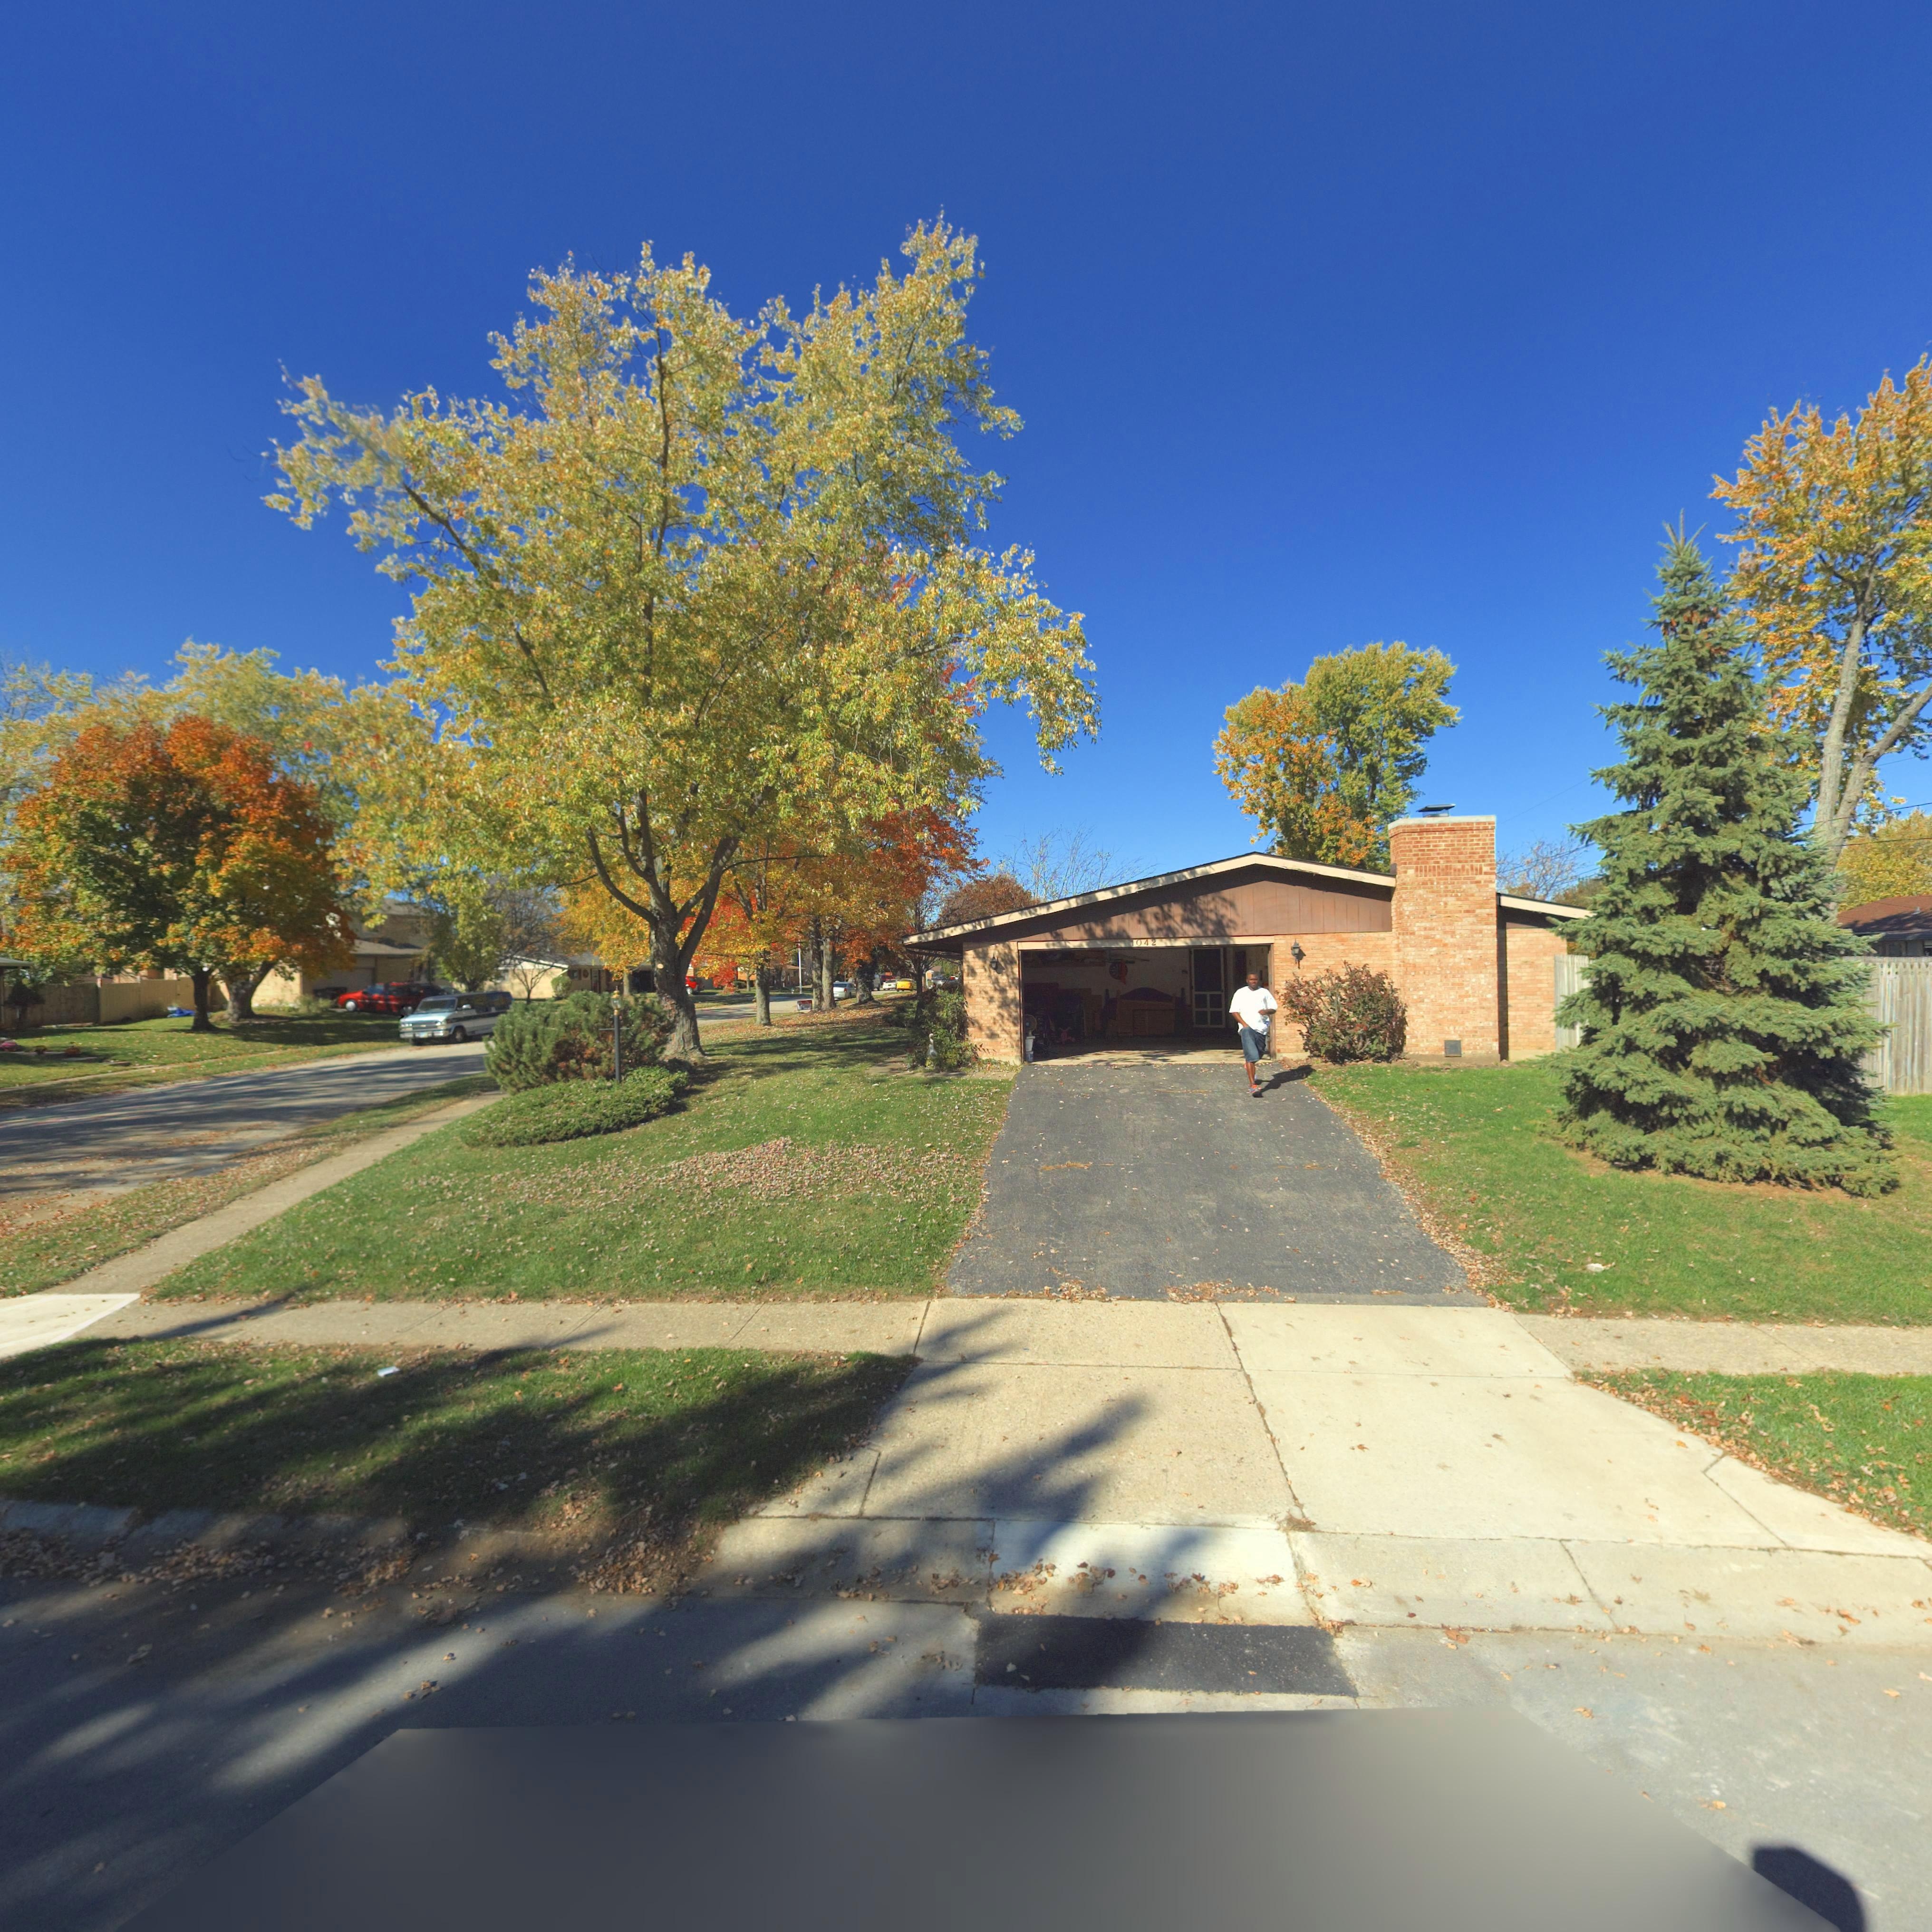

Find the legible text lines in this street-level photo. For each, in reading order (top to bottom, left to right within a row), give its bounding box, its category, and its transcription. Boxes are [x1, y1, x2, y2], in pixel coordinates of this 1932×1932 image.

[1130, 938, 1156, 947] StreetNumber: 1042